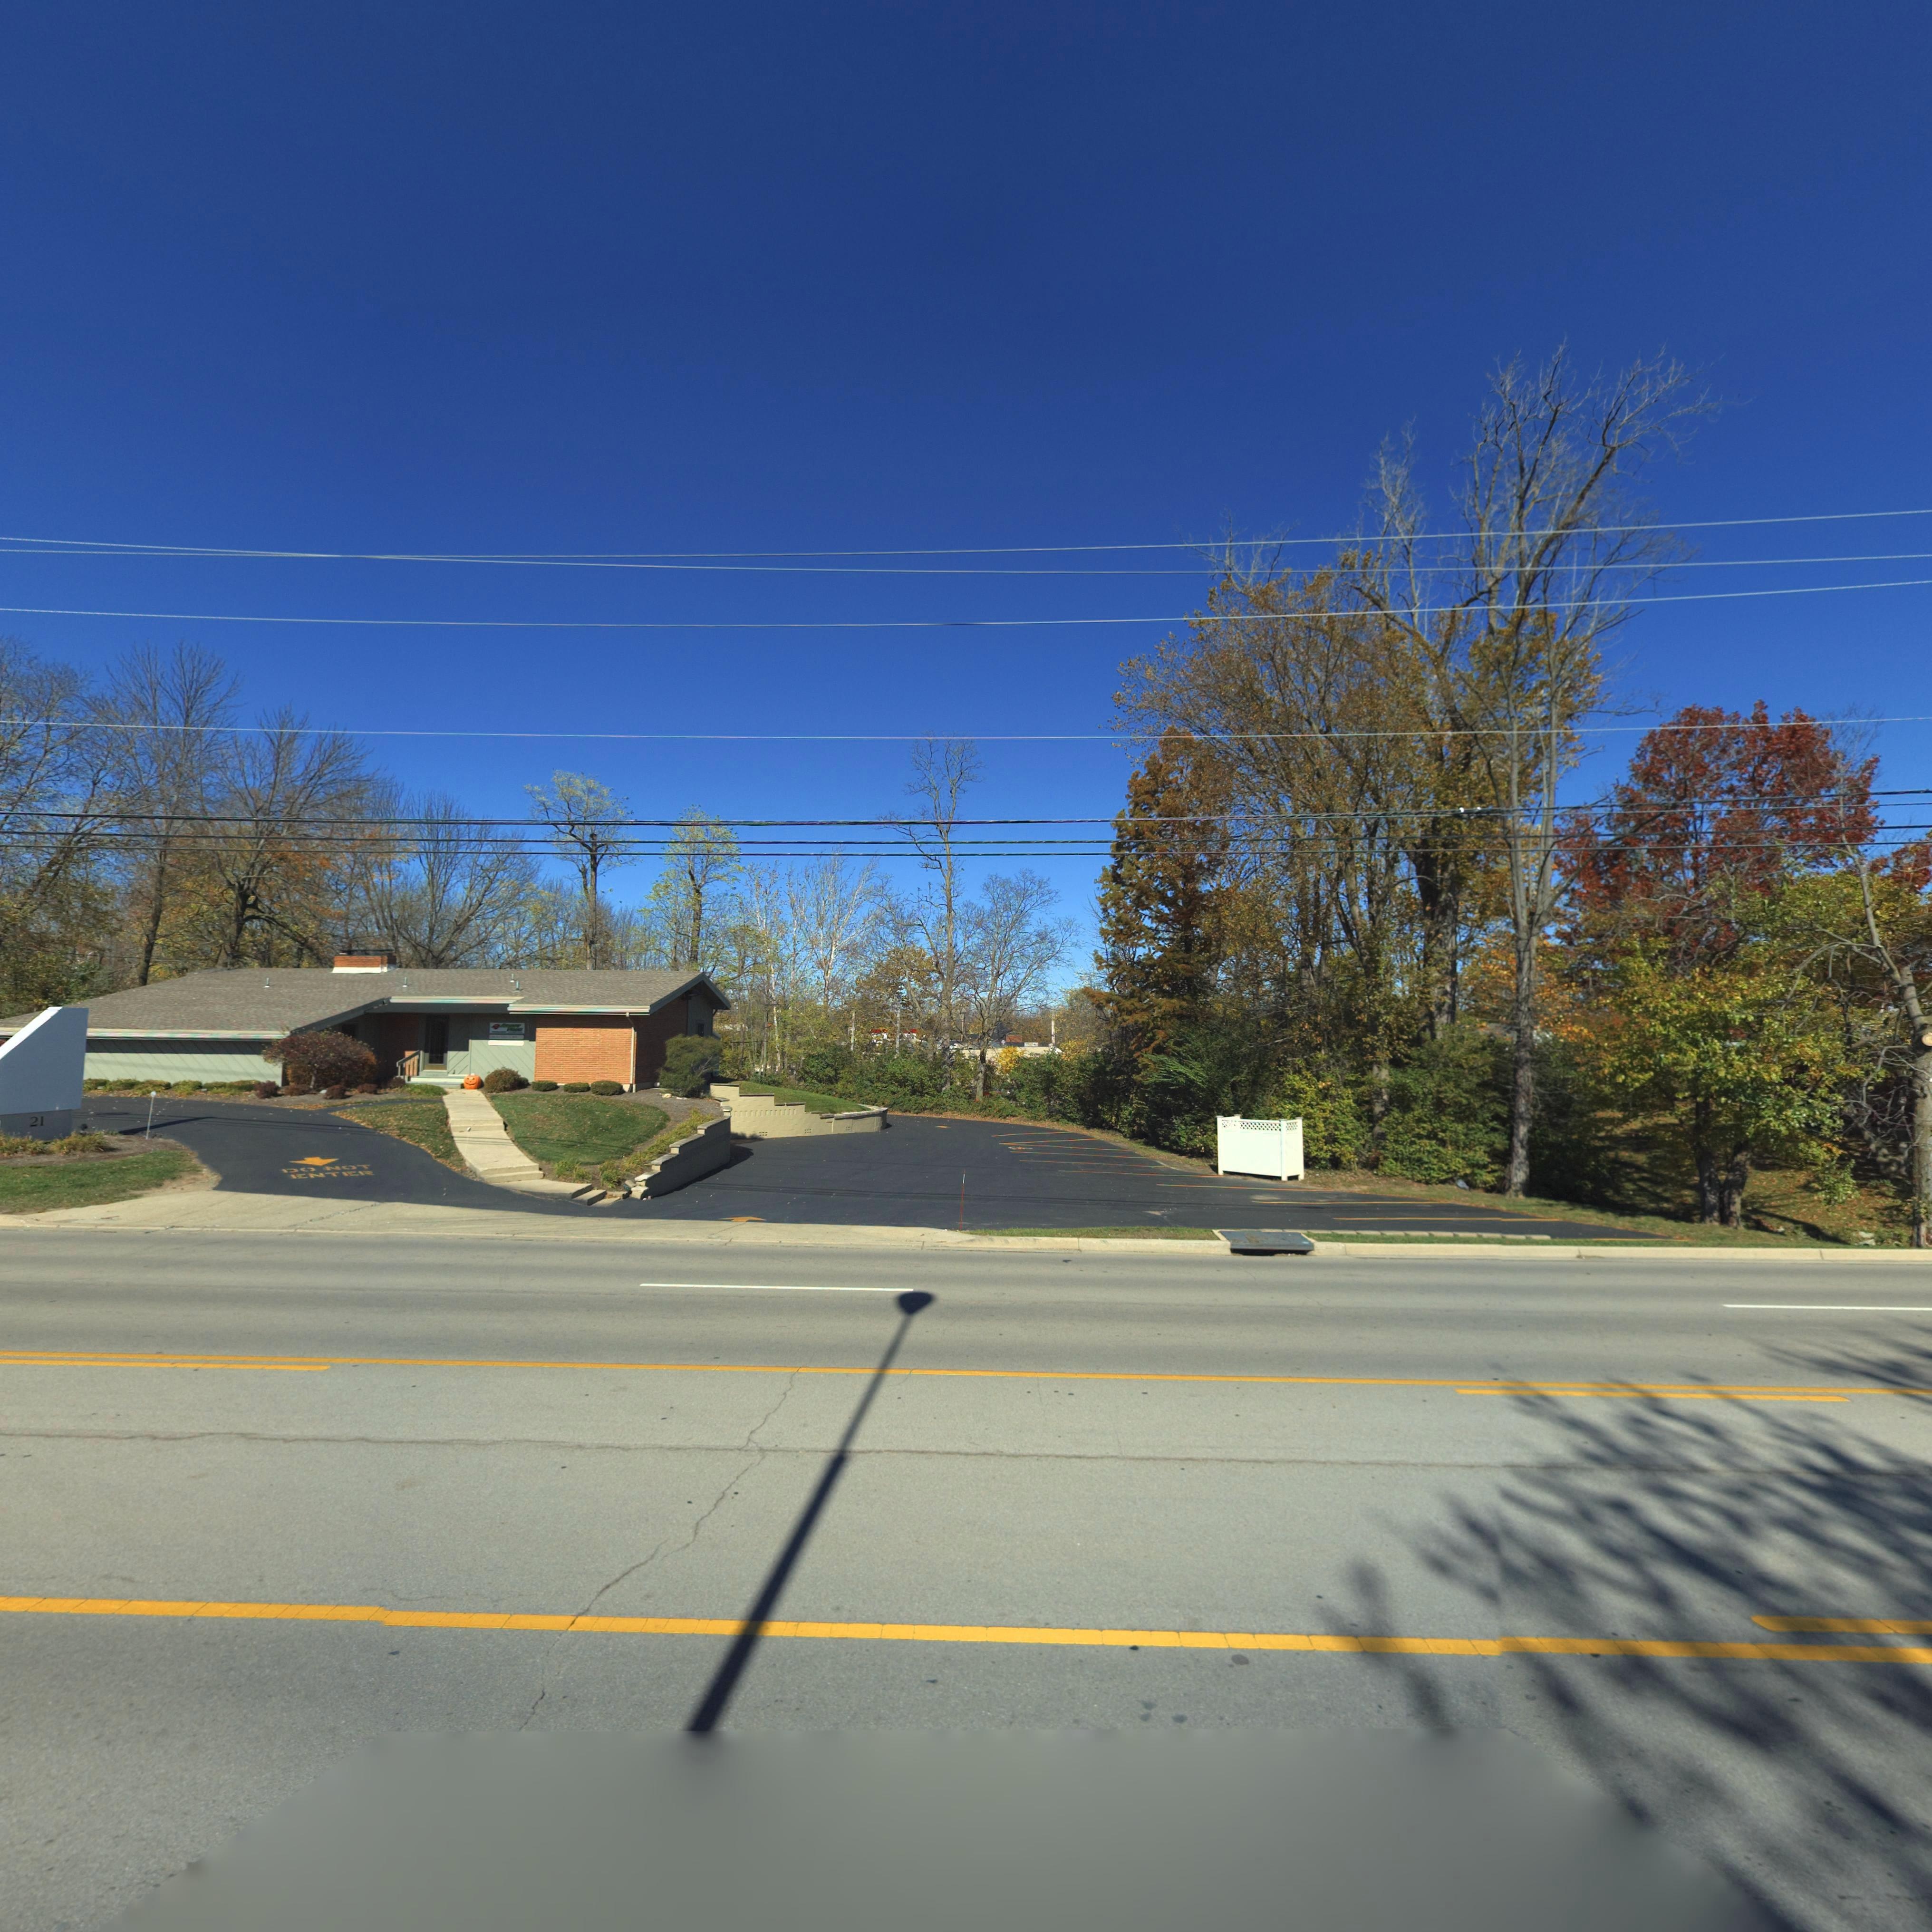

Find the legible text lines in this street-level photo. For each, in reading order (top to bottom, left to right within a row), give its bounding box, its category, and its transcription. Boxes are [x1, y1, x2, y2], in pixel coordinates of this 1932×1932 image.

[29, 1115, 45, 1128] StreetNumber: 21